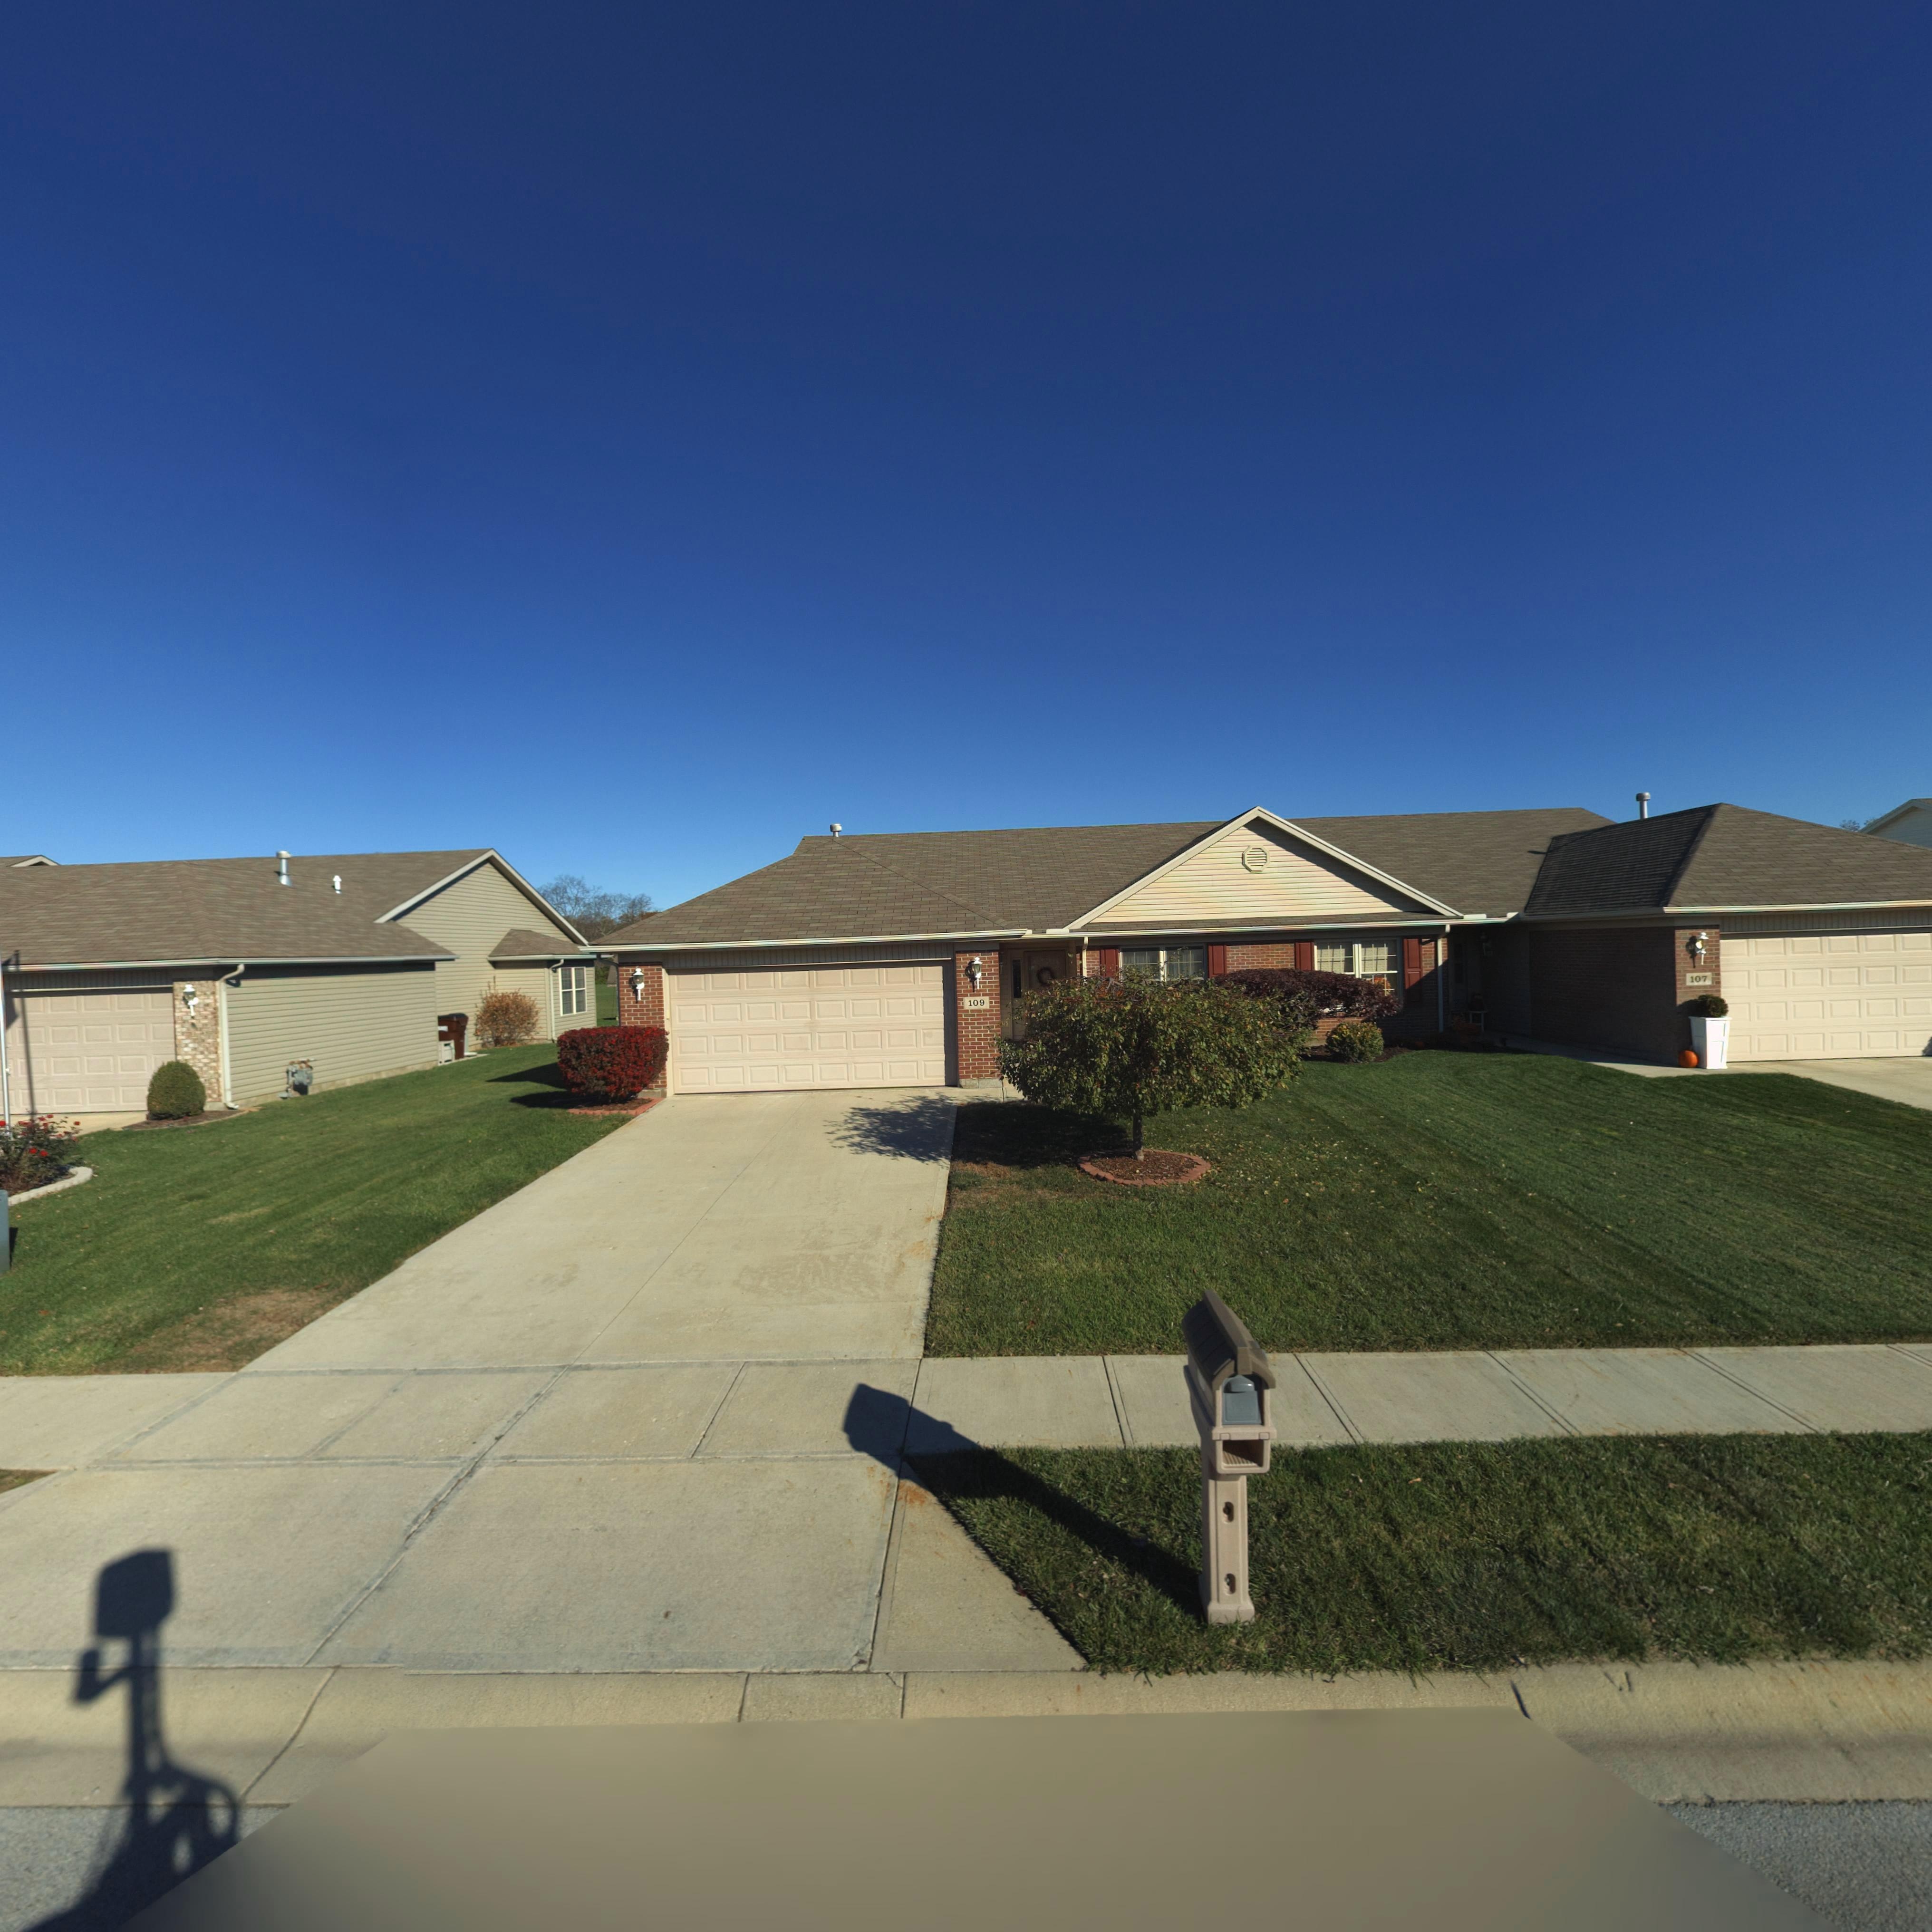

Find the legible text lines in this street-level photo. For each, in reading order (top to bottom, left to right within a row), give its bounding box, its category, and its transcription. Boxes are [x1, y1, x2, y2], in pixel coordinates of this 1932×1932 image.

[1690, 975, 1708, 984] StreetNumber: 107
[967, 998, 985, 1007] StreetNumber: 109